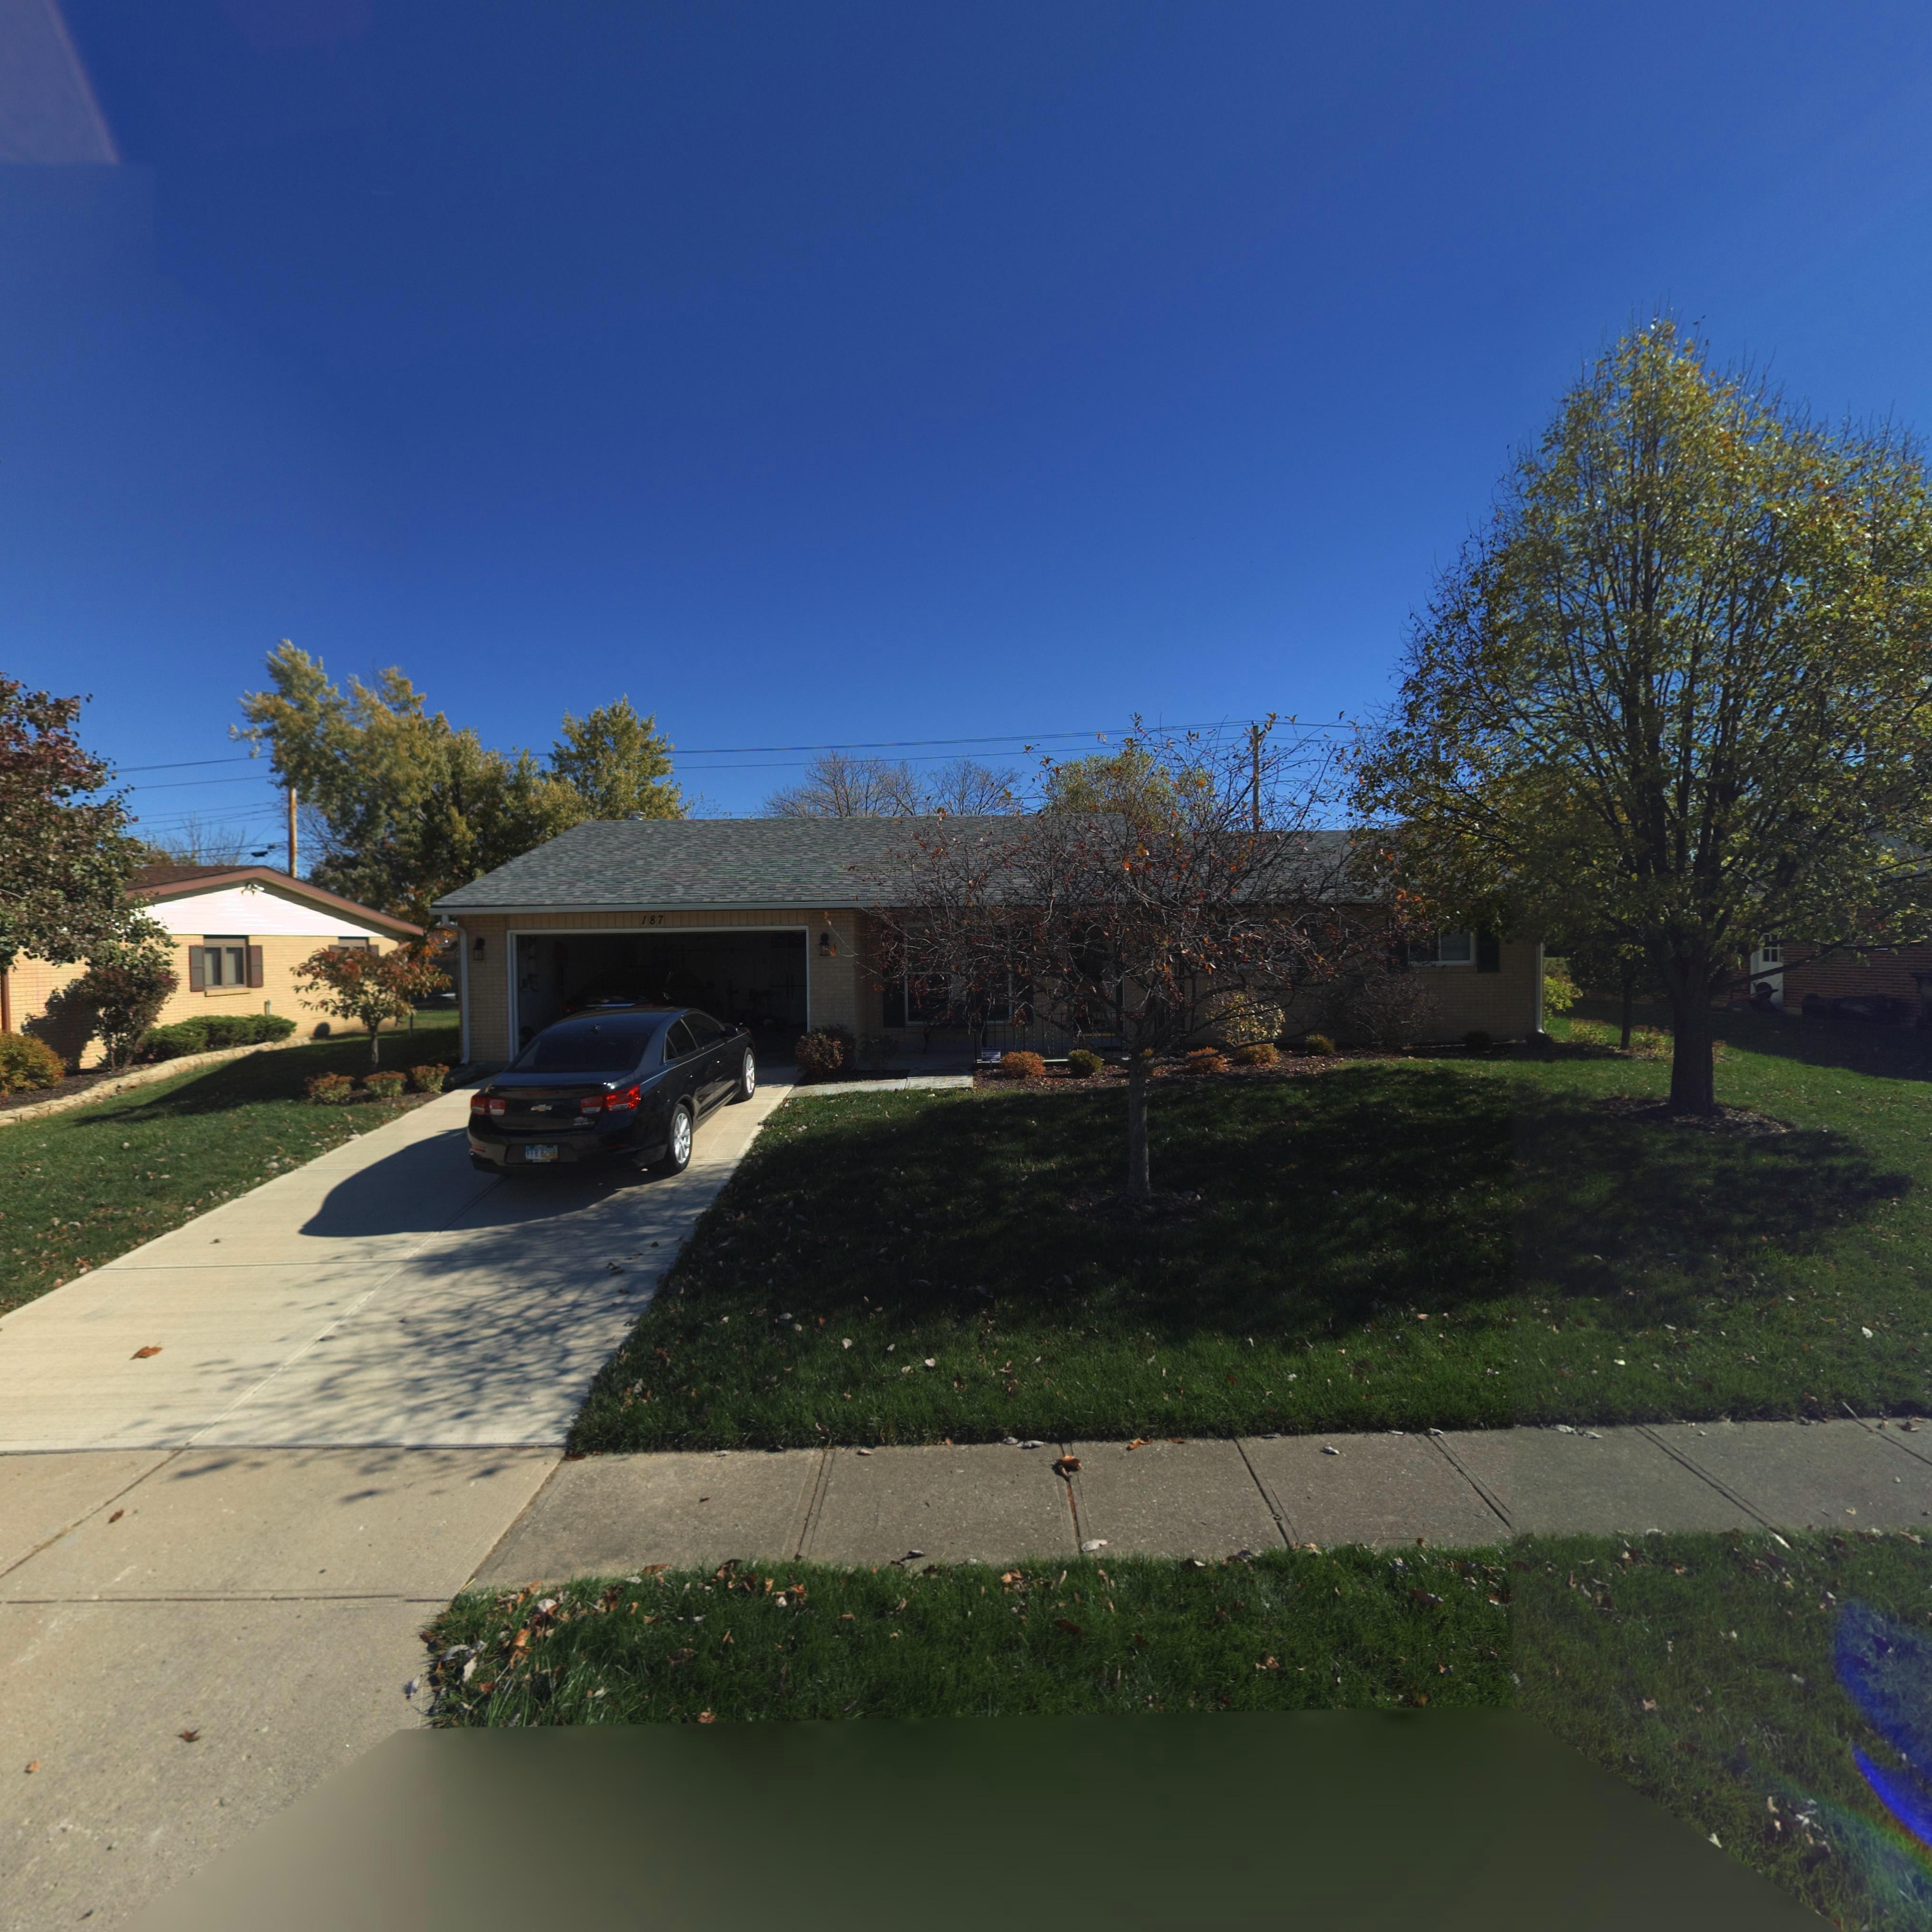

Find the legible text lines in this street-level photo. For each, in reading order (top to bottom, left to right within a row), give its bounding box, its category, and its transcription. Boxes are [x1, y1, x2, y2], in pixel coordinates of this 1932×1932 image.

[640, 914, 665, 926] StreetNumber: 187